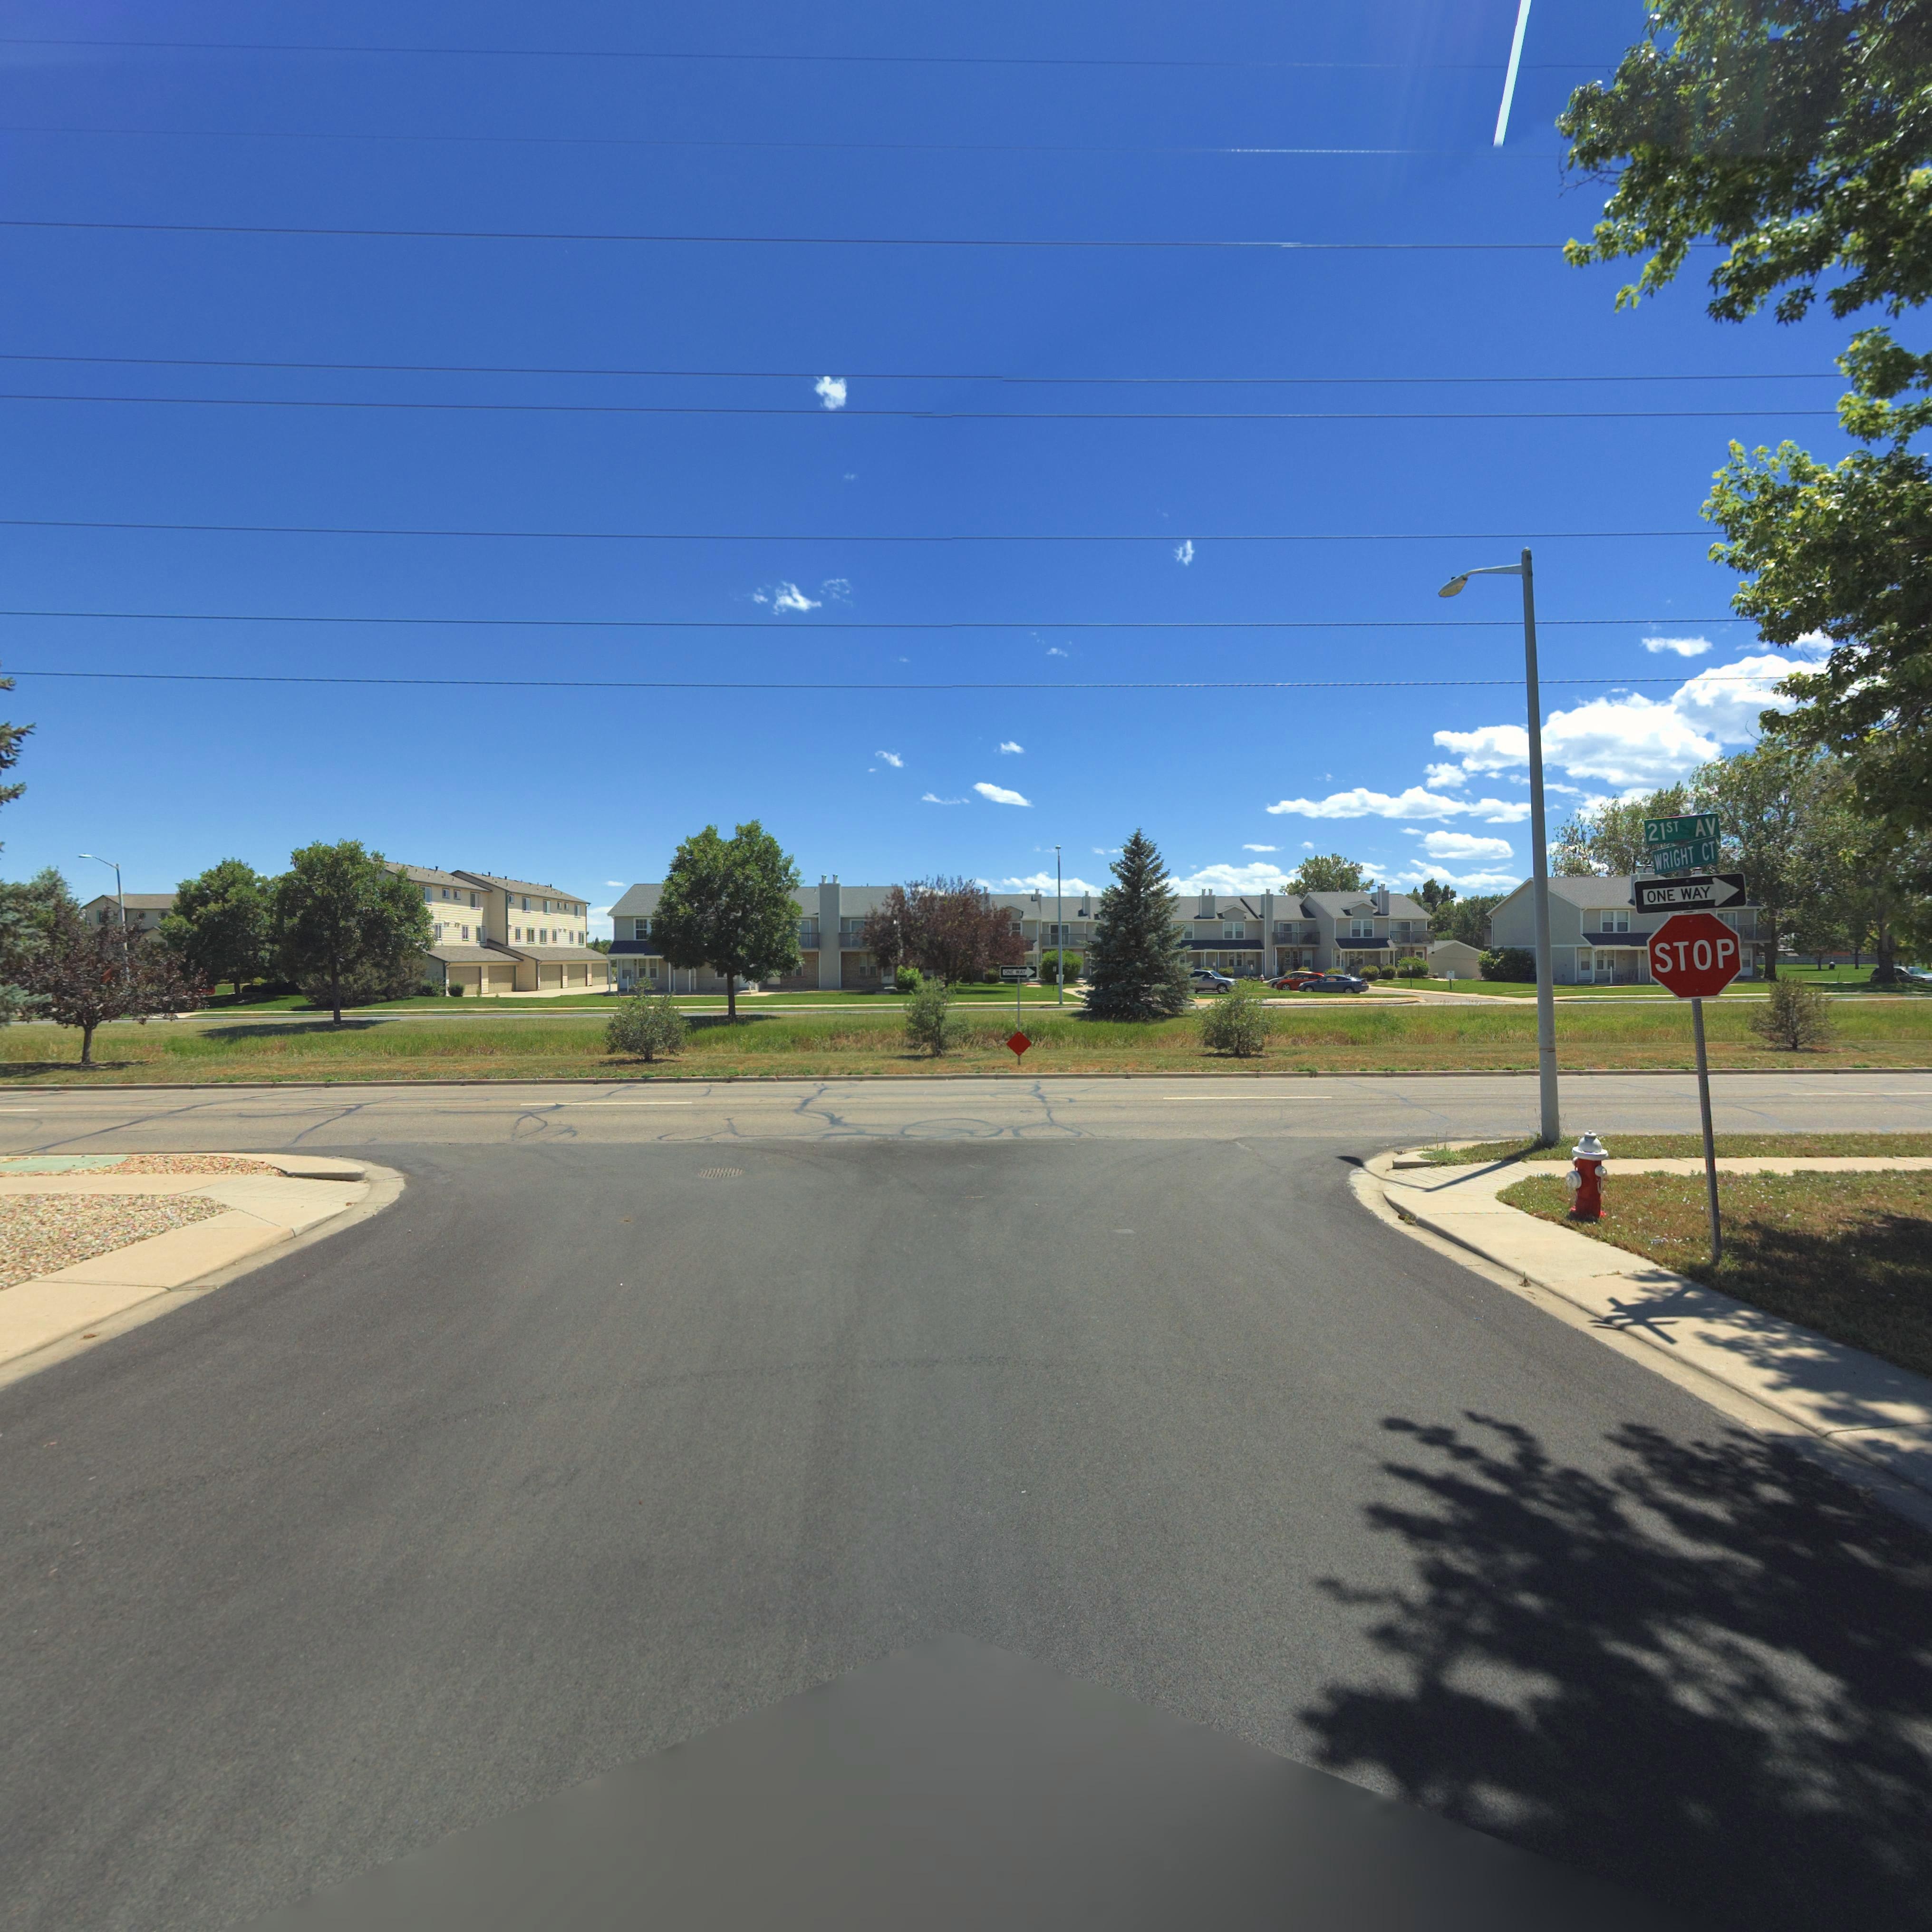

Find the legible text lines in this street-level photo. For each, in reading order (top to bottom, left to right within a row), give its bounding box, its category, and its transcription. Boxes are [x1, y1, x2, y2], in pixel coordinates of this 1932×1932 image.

[1645, 815, 1718, 842] StreetName: 21ST AV
[1652, 840, 1715, 871] StreetName: WRIGHT CT